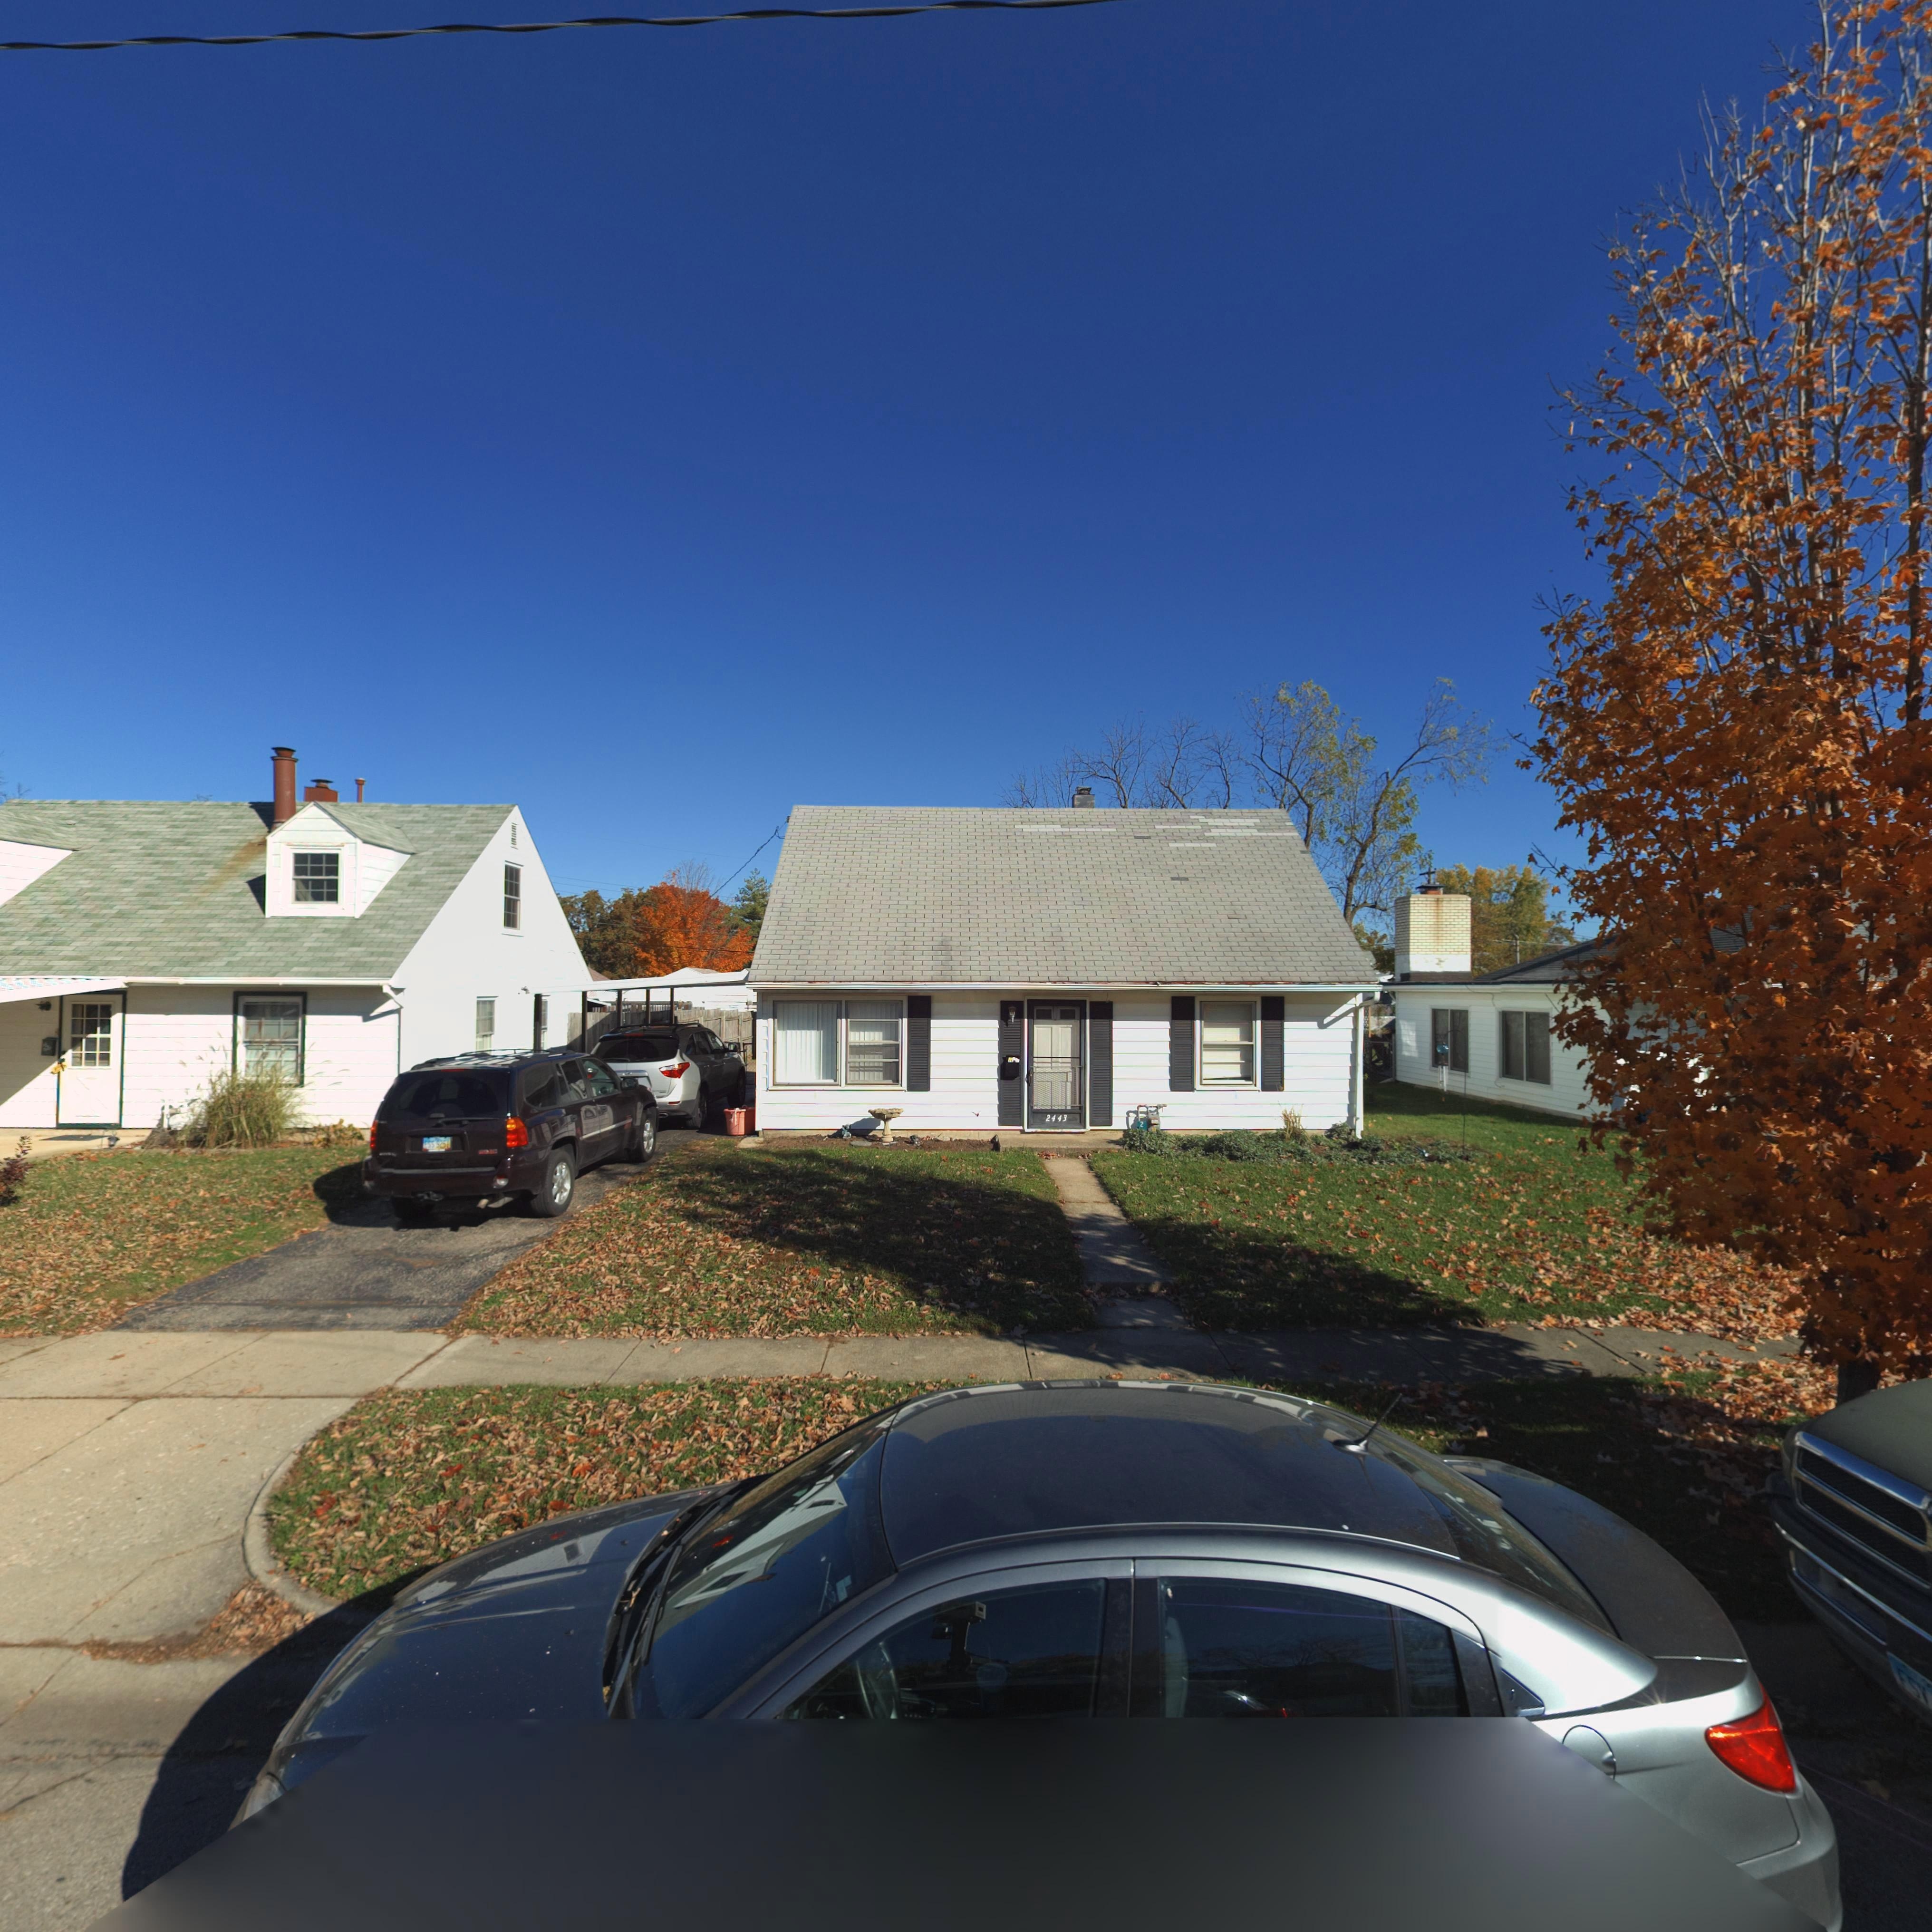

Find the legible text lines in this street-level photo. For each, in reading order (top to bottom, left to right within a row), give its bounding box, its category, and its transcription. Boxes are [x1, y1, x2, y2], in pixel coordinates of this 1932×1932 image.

[1044, 1113, 1068, 1123] StreetNumber: 2443
[1139, 1121, 1144, 1128] StreetNumber: 2